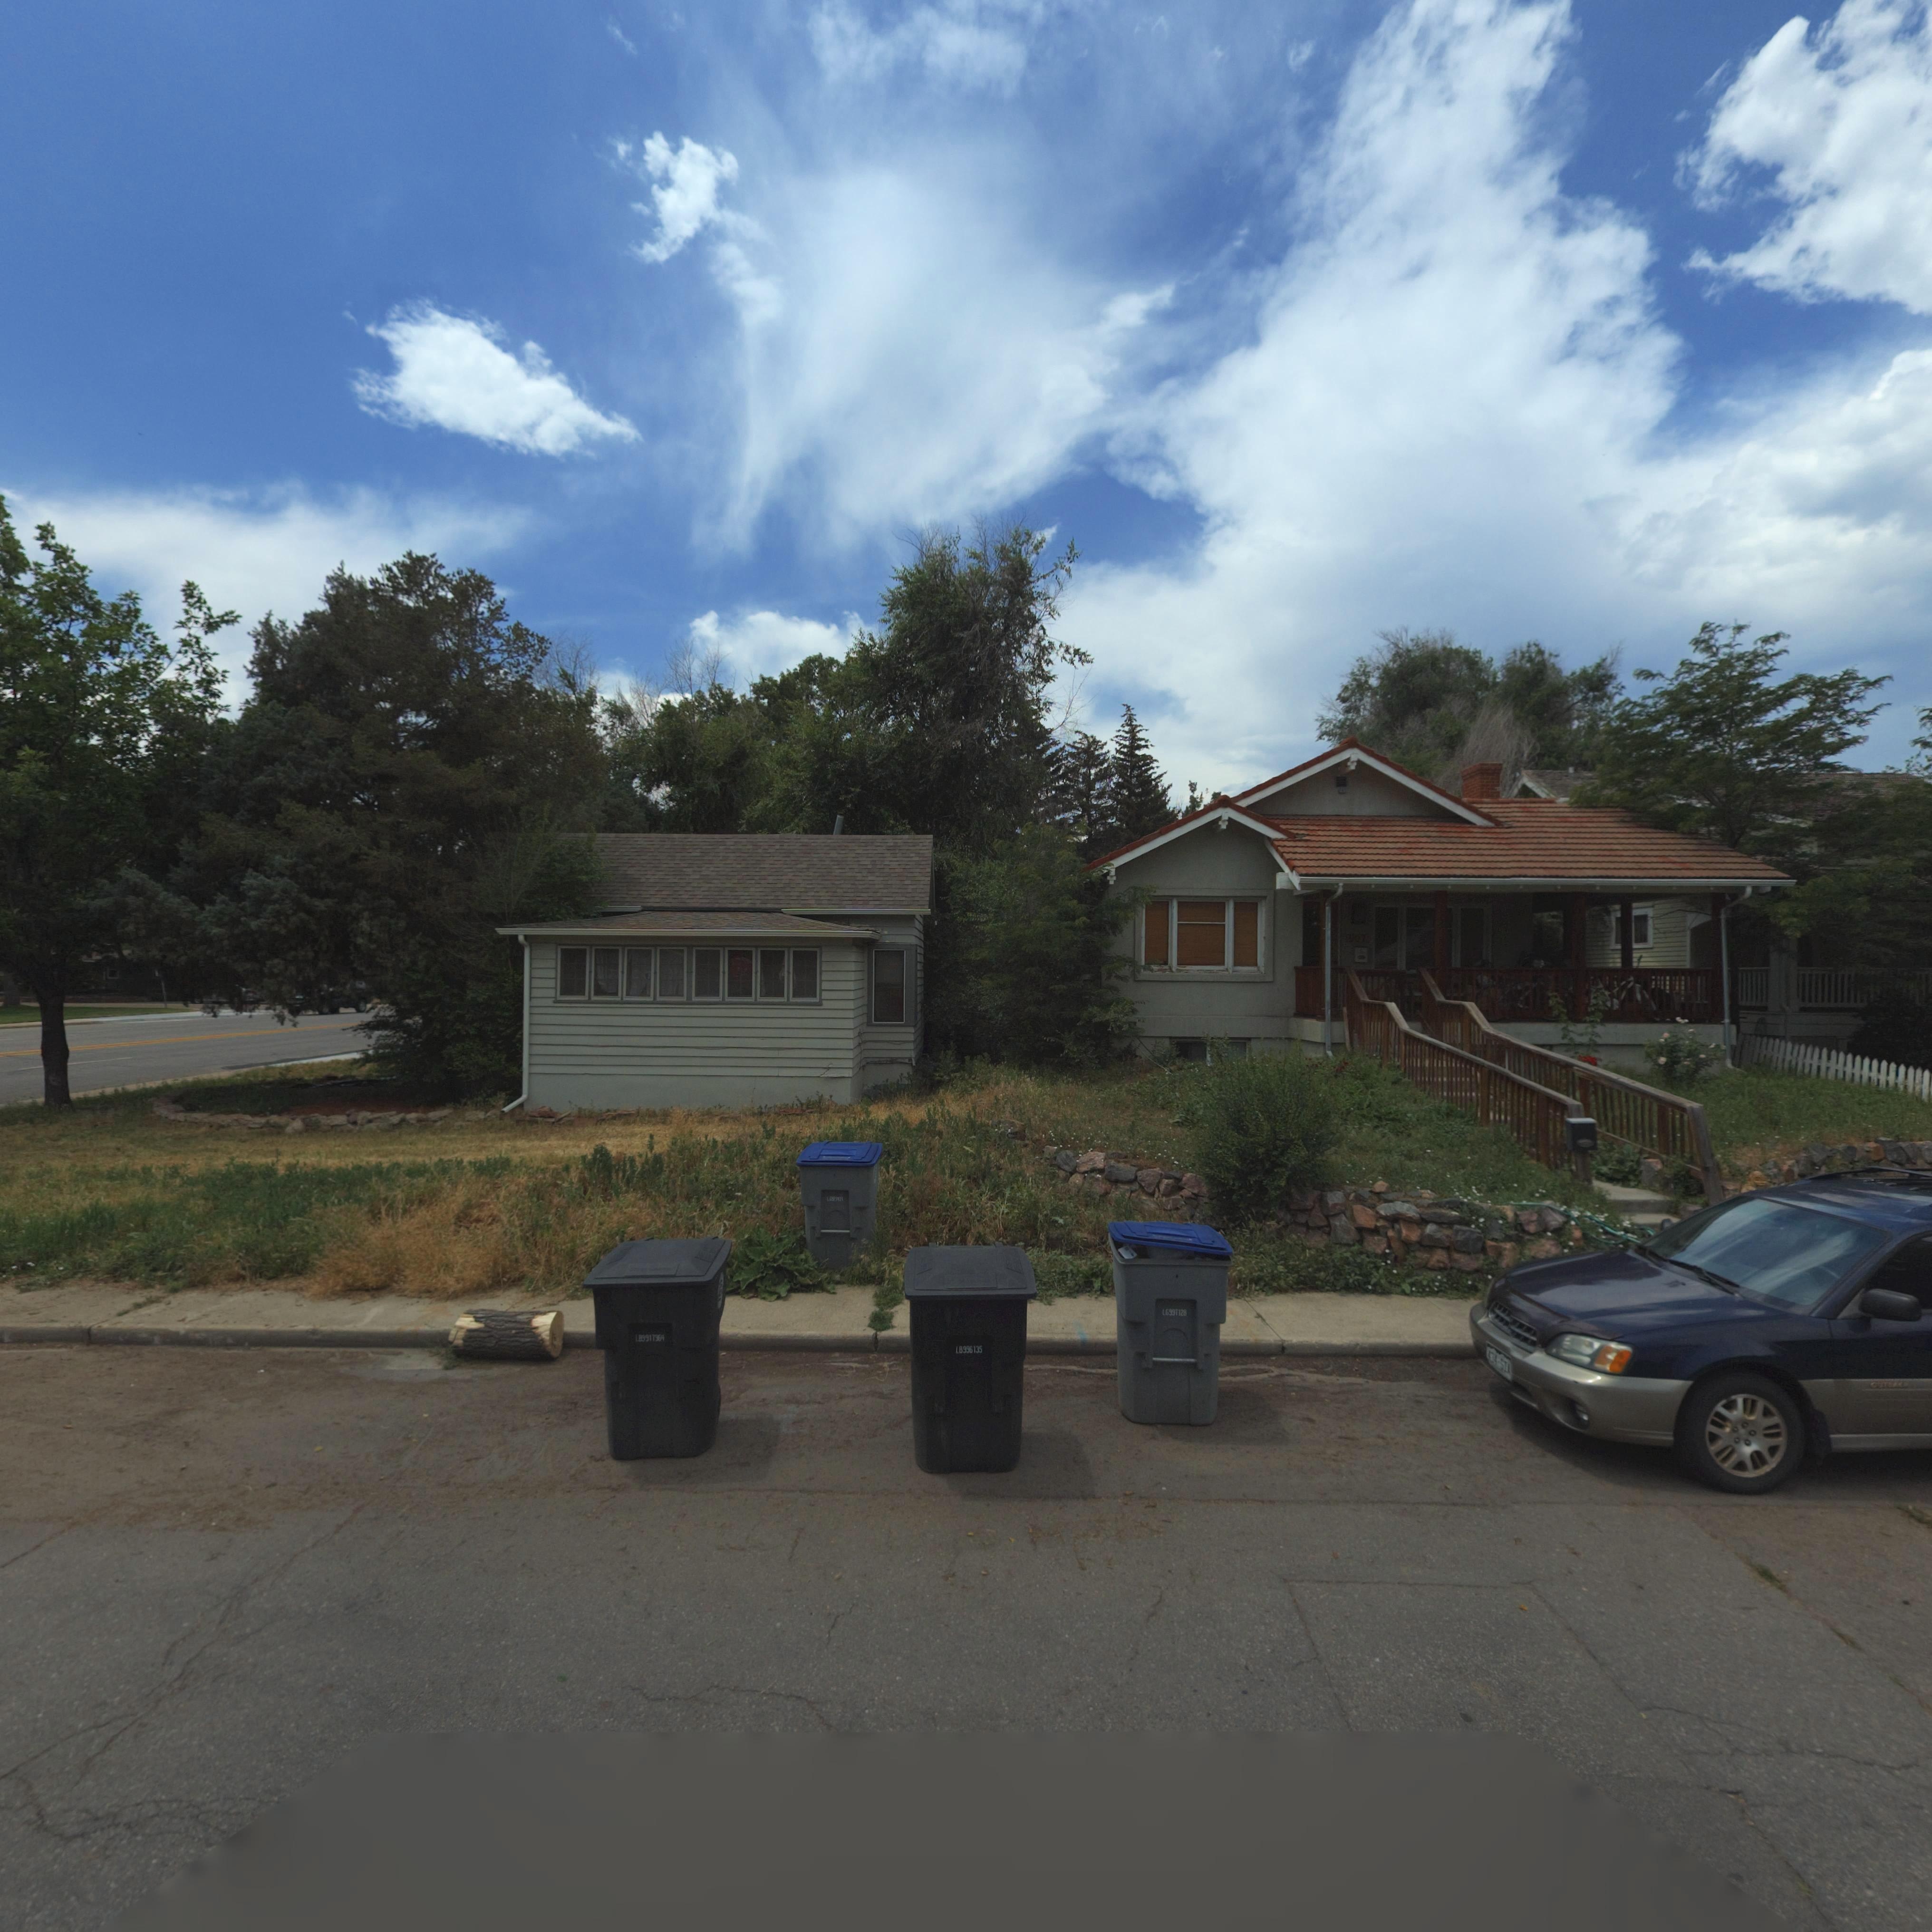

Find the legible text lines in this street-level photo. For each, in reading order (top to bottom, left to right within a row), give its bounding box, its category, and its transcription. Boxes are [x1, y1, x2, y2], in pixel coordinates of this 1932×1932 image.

[1348, 933, 1368, 944] StreetNumber: *07